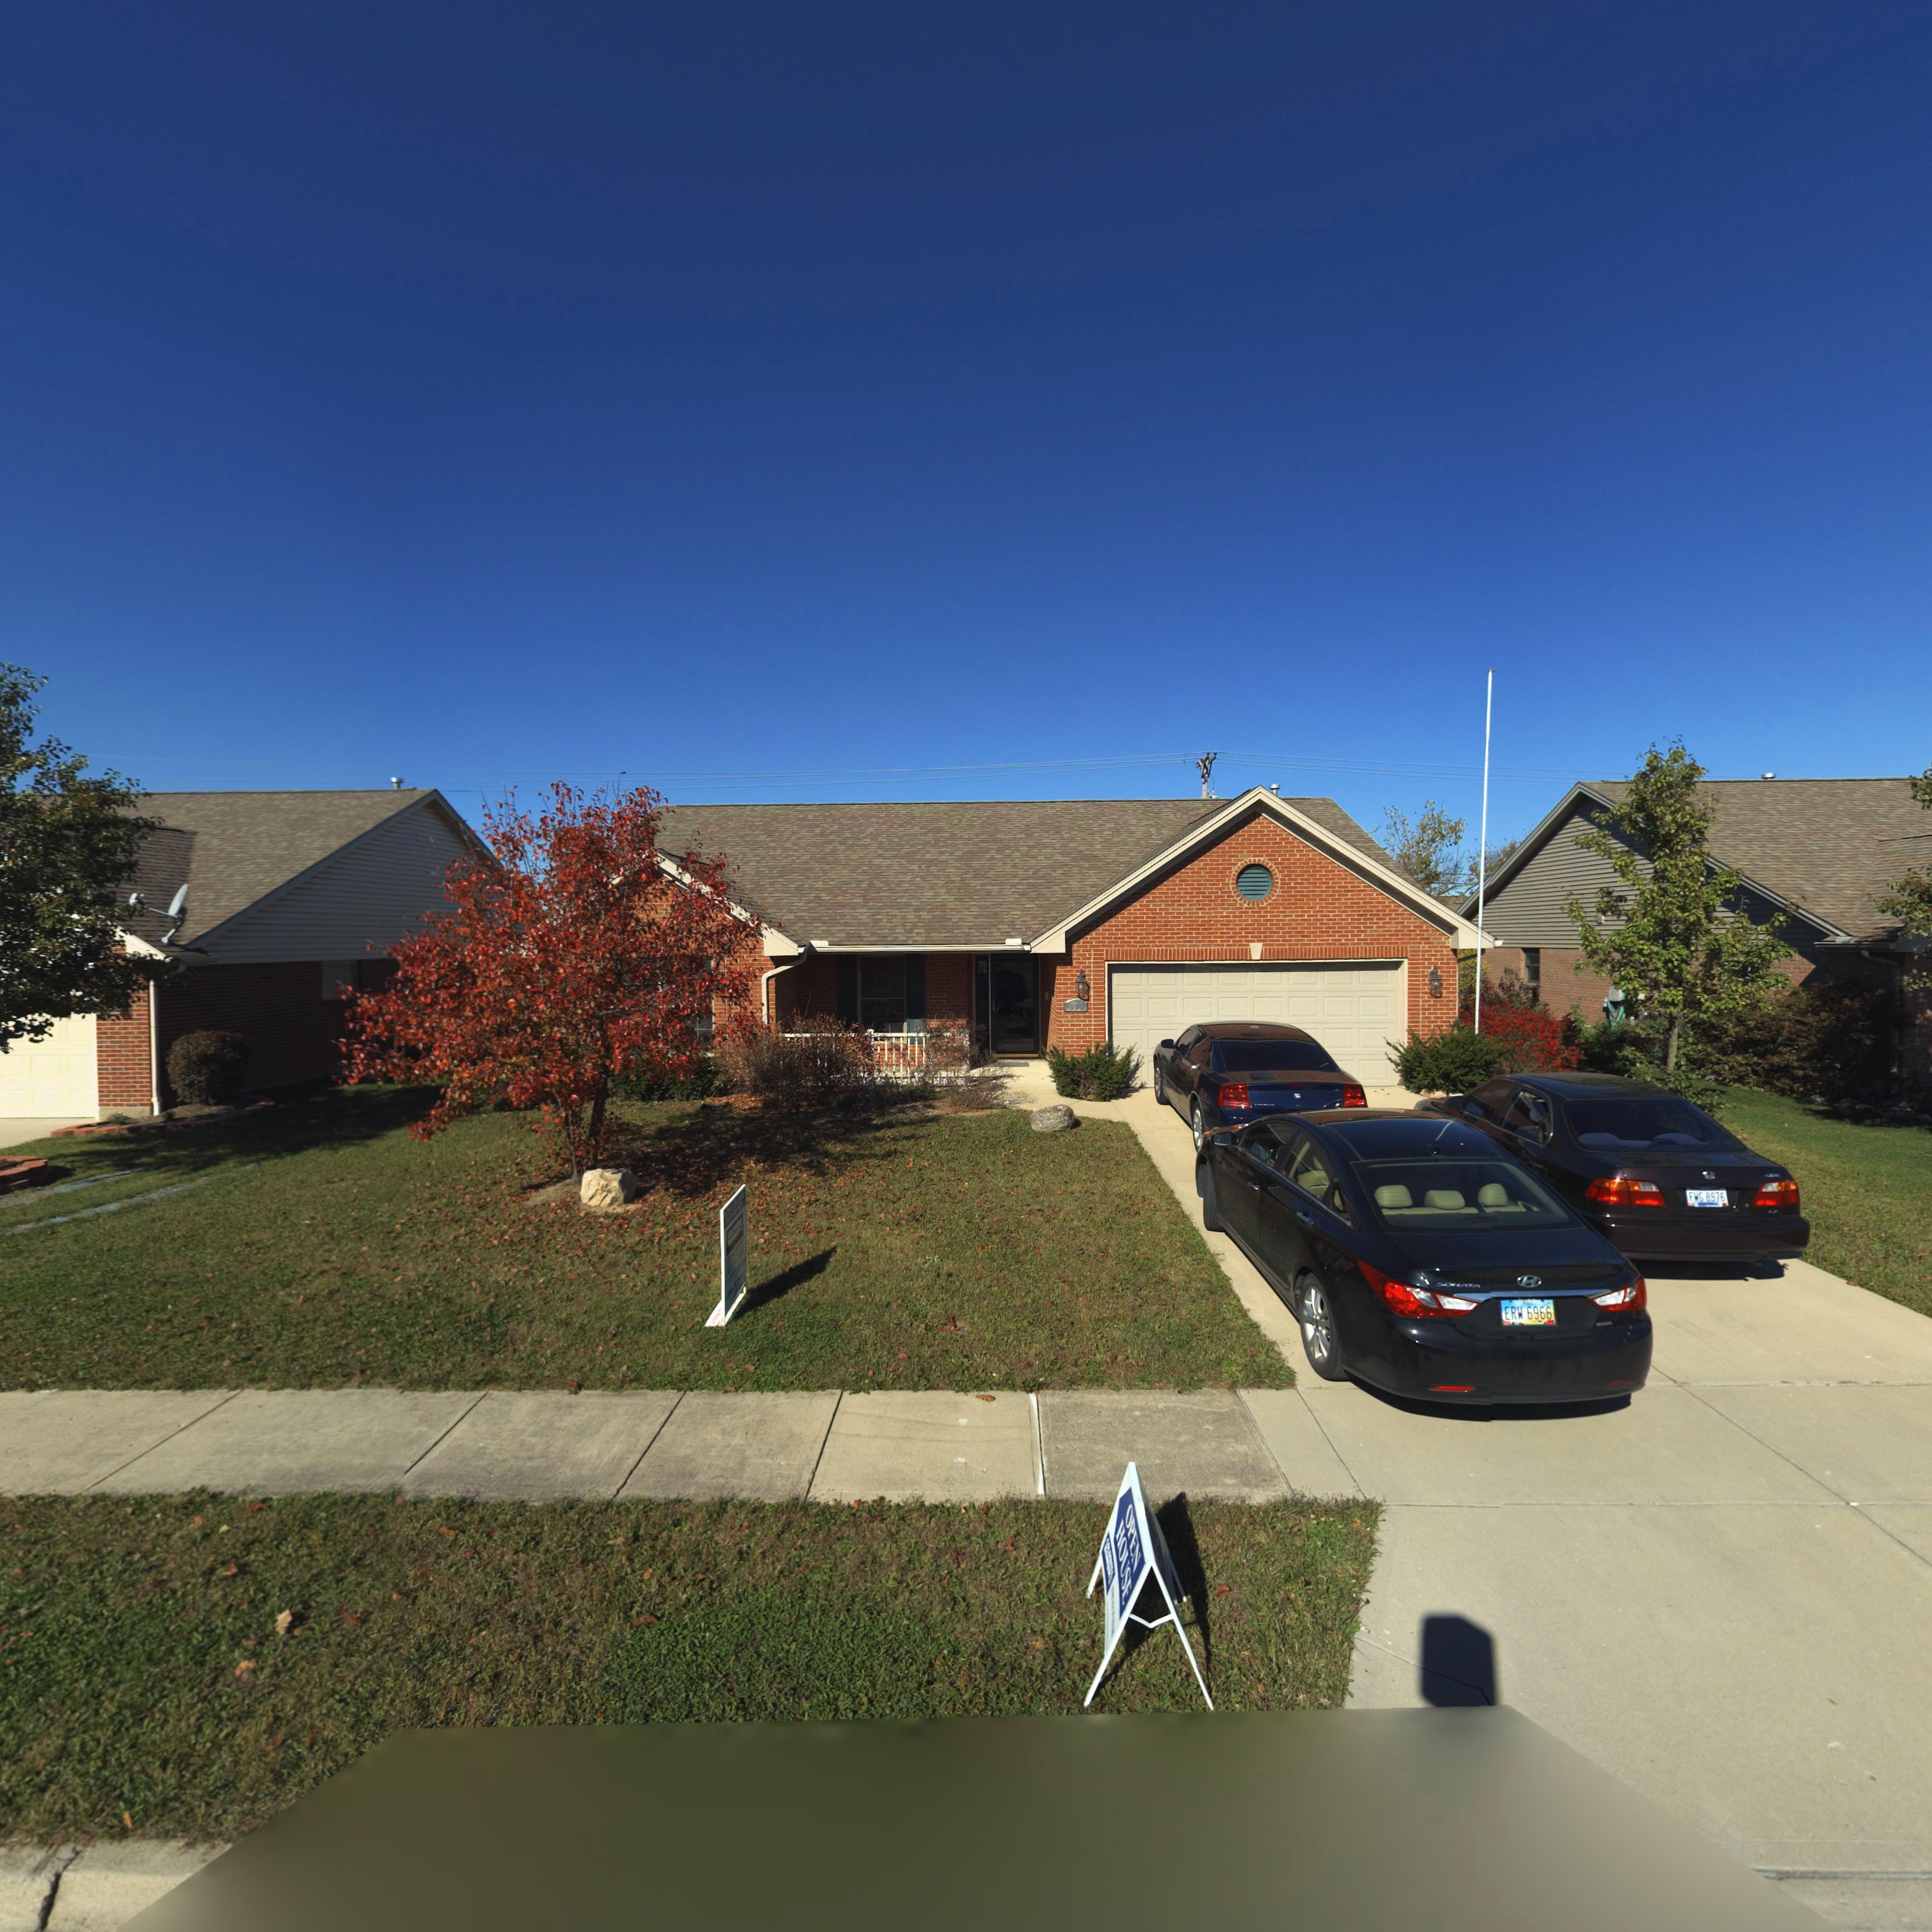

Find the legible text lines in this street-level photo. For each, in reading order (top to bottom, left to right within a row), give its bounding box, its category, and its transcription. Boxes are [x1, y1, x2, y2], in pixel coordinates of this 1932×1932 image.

[1068, 1002, 1084, 1012] StreetNumber: 6**
[1688, 1190, 1726, 1203] None: FWG*8976
[1433, 1281, 1482, 1289] None: SONATA
[1504, 1305, 1553, 1322] None: ERW*6966
[1124, 1502, 1142, 1577] None: OPEN
[1115, 1514, 1133, 1608] None: HOUSE